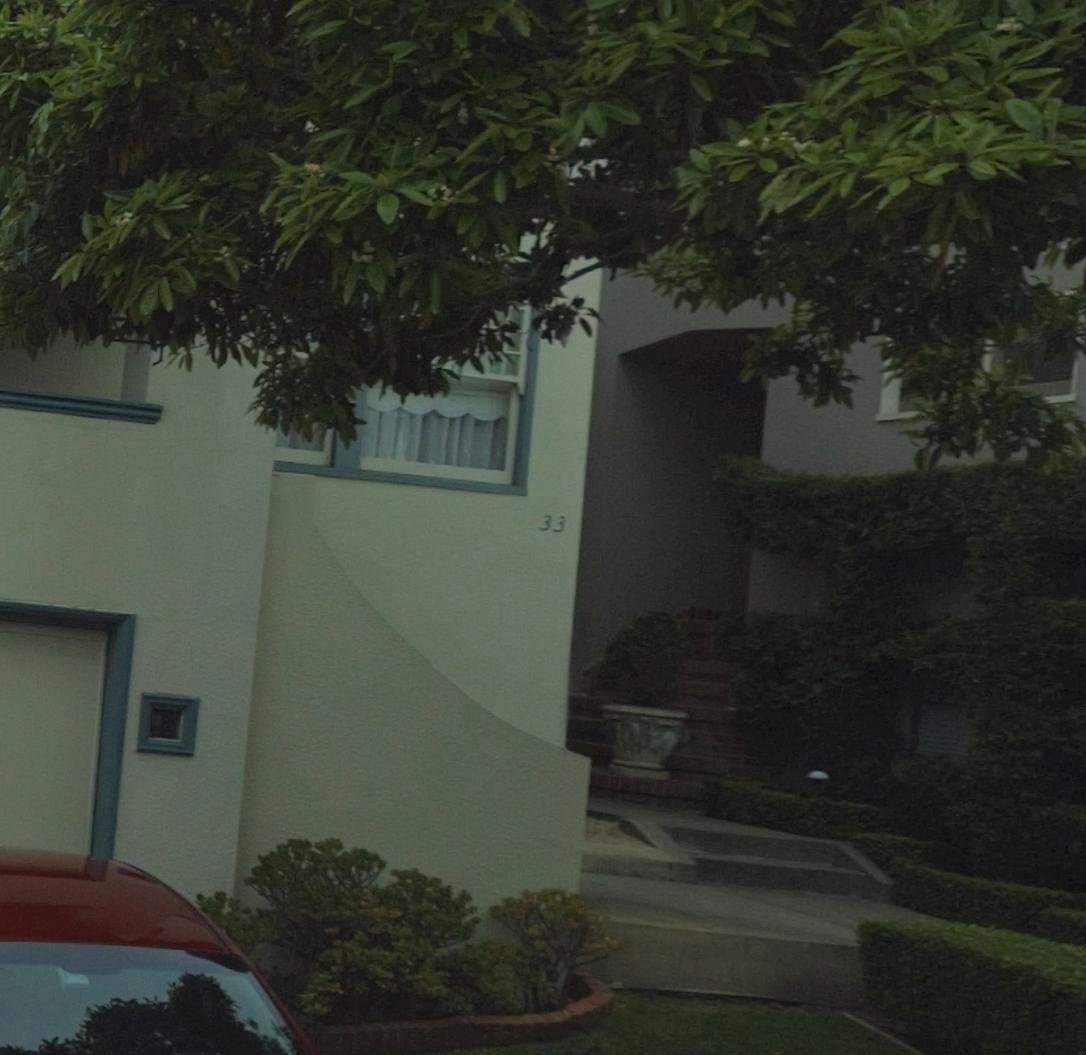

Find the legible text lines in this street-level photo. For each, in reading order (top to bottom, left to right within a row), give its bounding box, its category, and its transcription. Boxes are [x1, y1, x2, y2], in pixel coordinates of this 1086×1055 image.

[537, 511, 569, 536] StreetNumber: 33